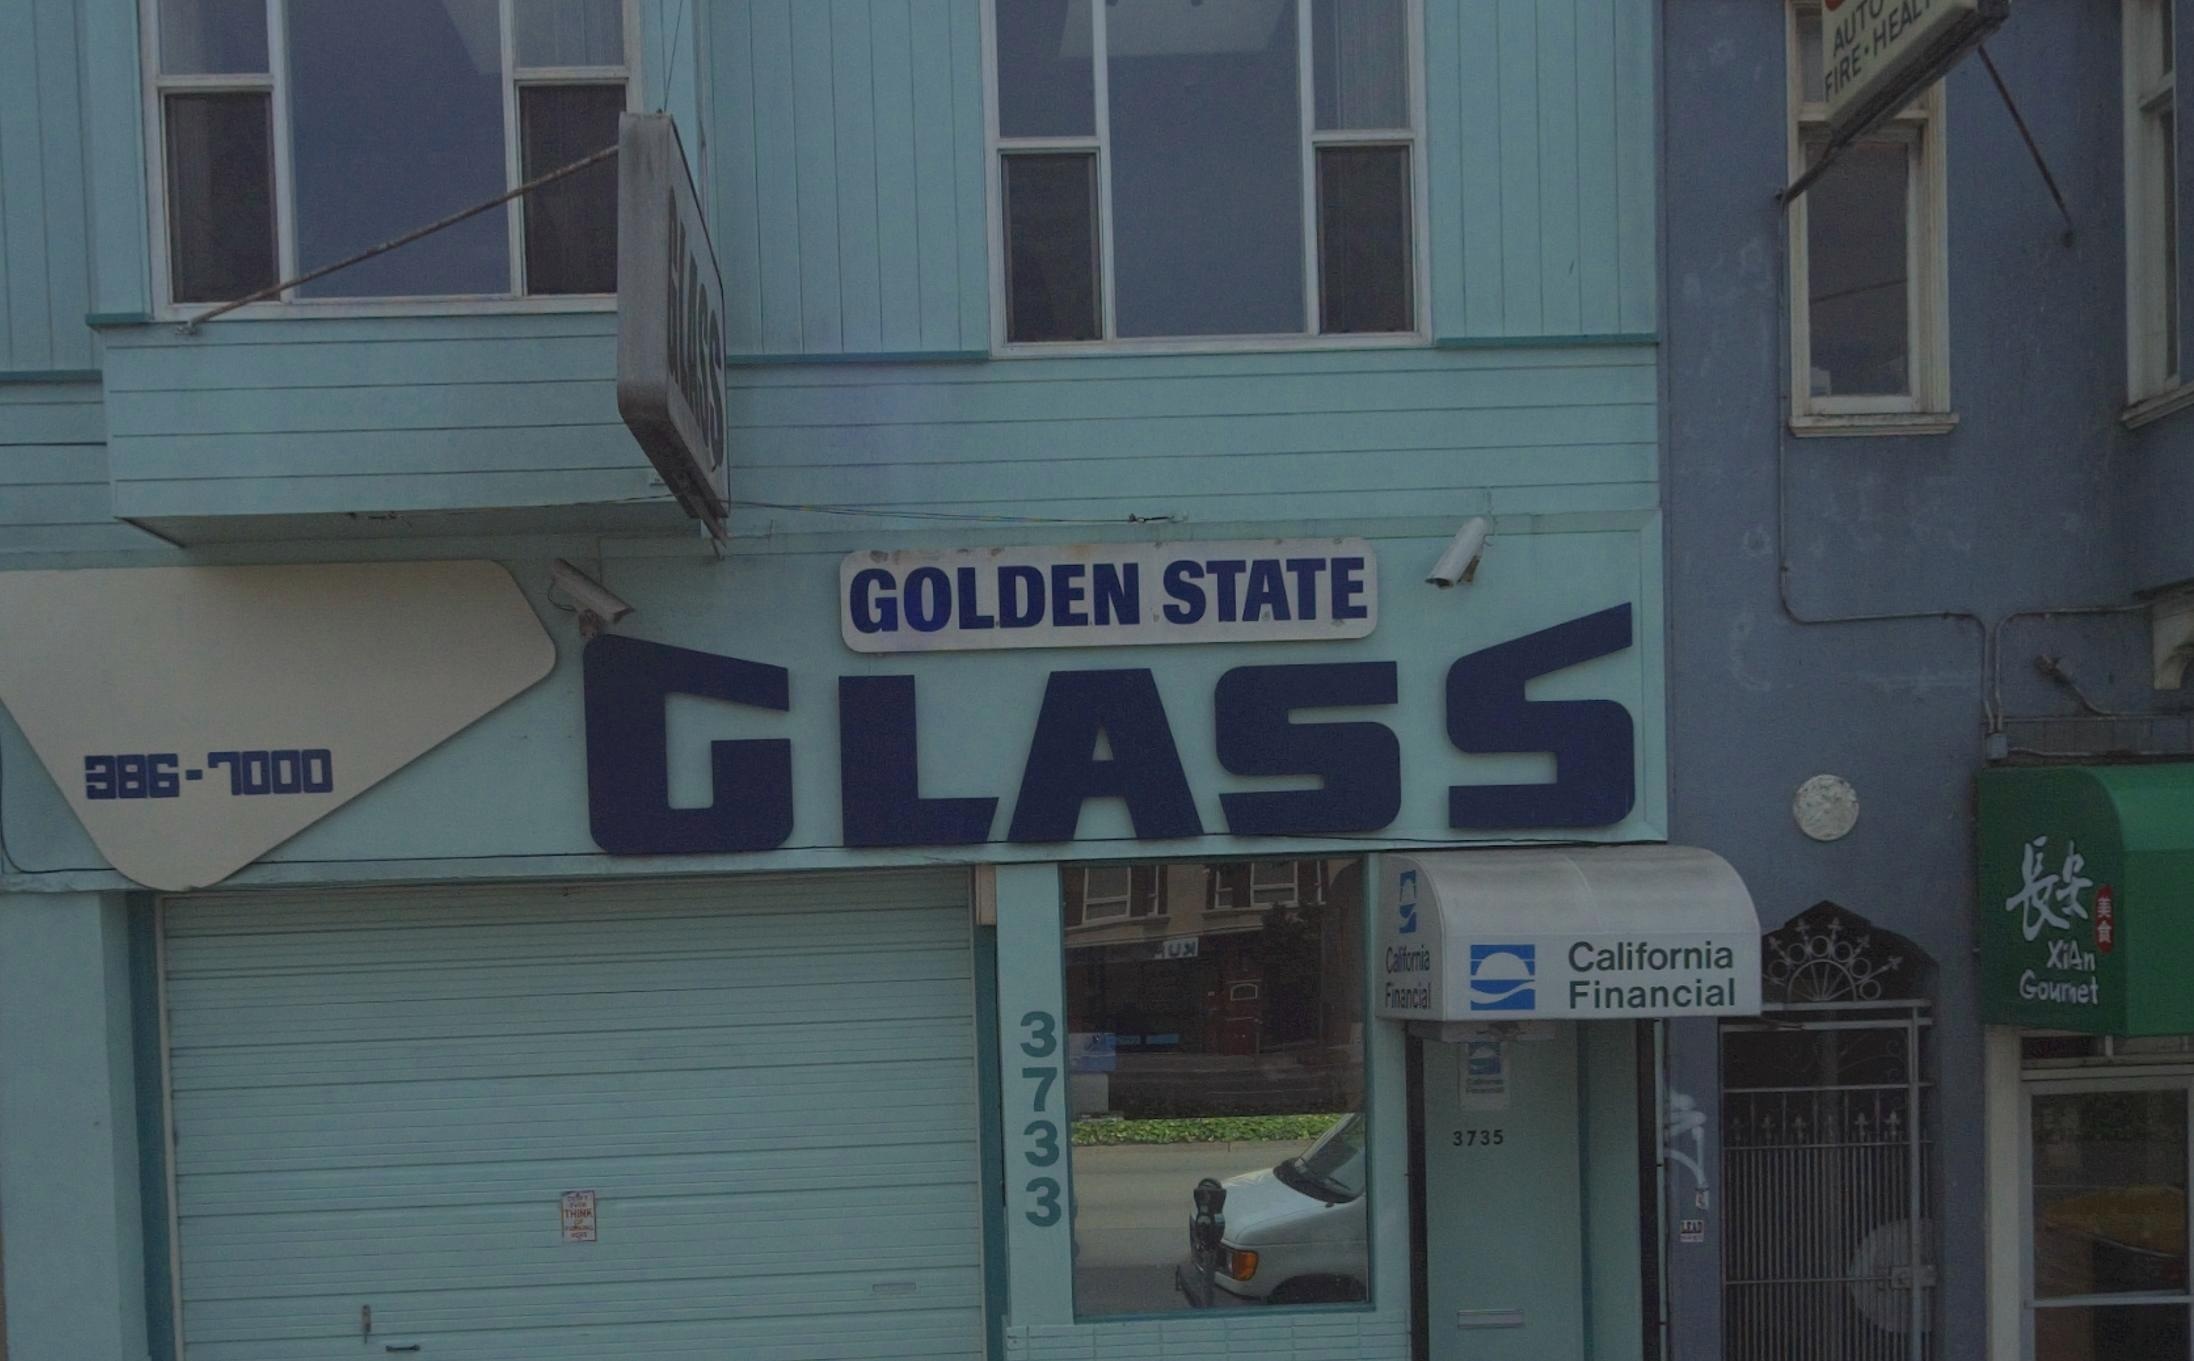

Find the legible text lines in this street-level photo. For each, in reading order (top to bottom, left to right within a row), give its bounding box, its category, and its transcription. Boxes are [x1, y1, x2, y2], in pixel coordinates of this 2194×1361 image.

[843, 551, 1370, 638] BusinessName: GOLDEN STATE
[576, 597, 1641, 861] BusinessName: GOLDEN STATE
[76, 742, 338, 806] None: 386-7000
[1166, 939, 1198, 958] None: U*
[1382, 943, 1432, 976] BusinessName: California
[1566, 938, 1737, 974] BusinessName: California
[2039, 933, 2102, 976] BusinessName: XiAn
[1382, 980, 1432, 1012] BusinessName: Financial
[1567, 975, 1737, 1011] BusinessName: Financial
[2013, 965, 2104, 1011] BusinessName: Gourmet
[1015, 1003, 1064, 1233] StreetNumber: 3733
[1450, 1126, 1507, 1149] StreetNumber: 3735
[562, 1206, 595, 1221] None: THINK
[1679, 1220, 1705, 1236] None: LEAD